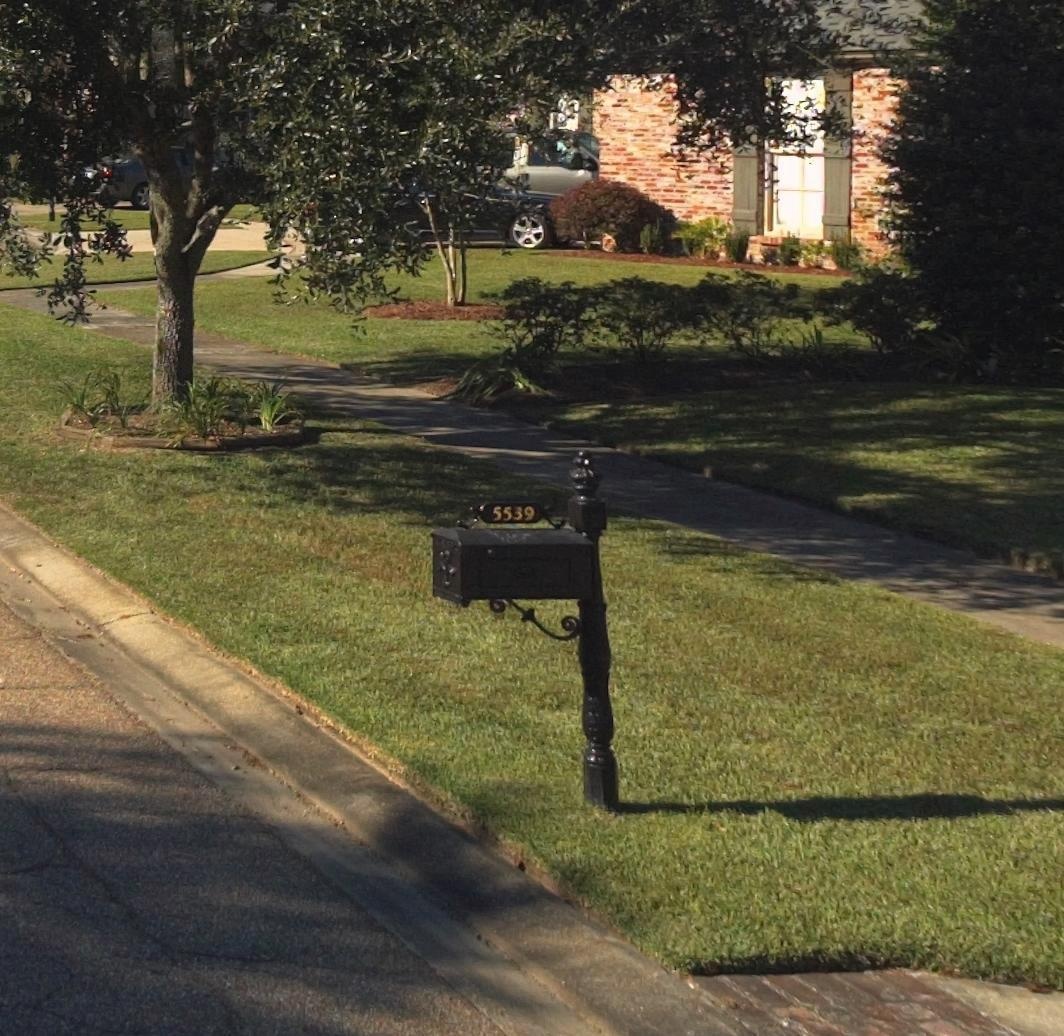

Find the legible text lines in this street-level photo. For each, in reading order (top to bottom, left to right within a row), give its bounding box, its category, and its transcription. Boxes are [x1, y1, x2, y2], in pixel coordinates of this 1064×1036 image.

[491, 504, 538, 523] StreetNumber: 5539